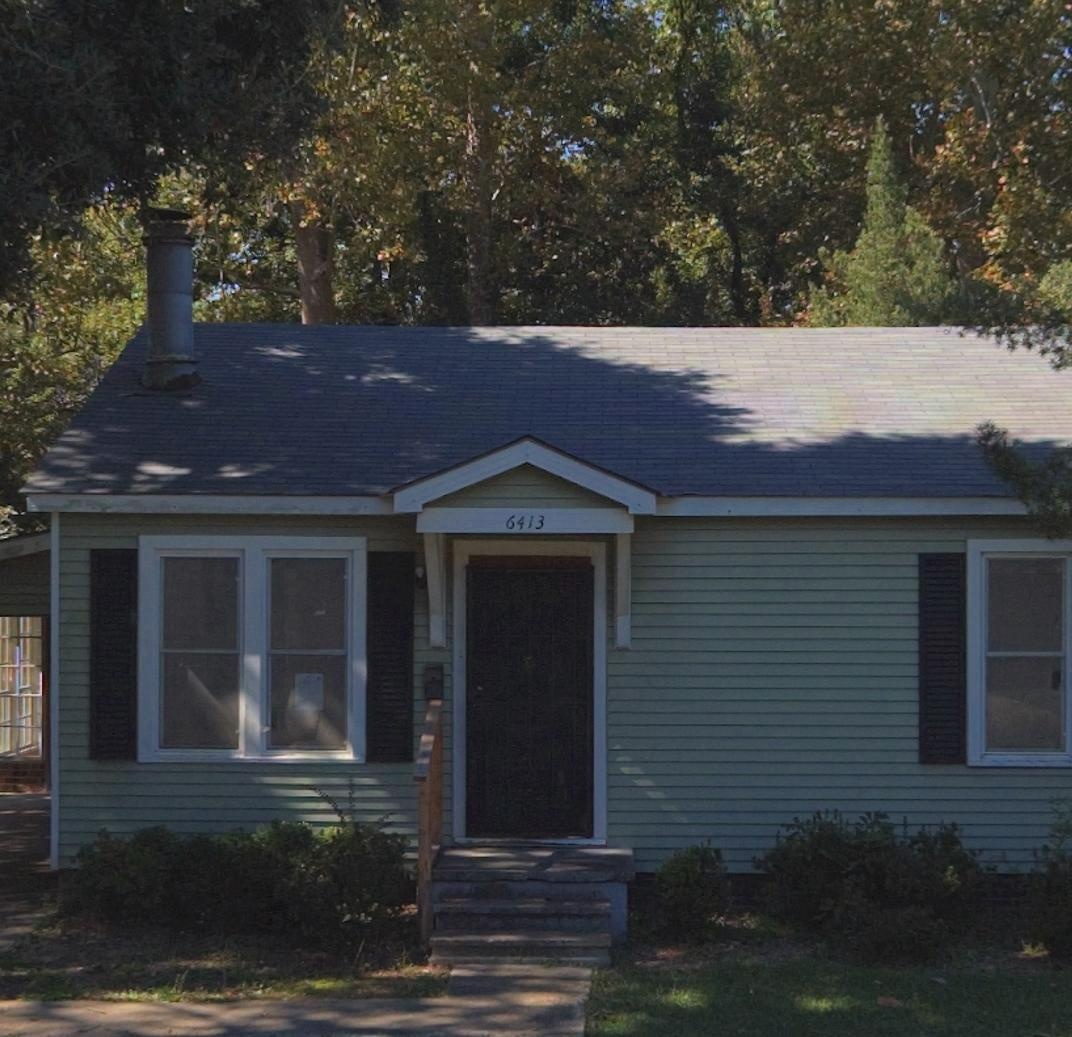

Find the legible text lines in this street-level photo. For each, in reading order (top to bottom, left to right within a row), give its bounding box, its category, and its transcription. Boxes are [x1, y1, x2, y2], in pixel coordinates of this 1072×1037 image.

[505, 514, 545, 531] StreetNumber: 6413